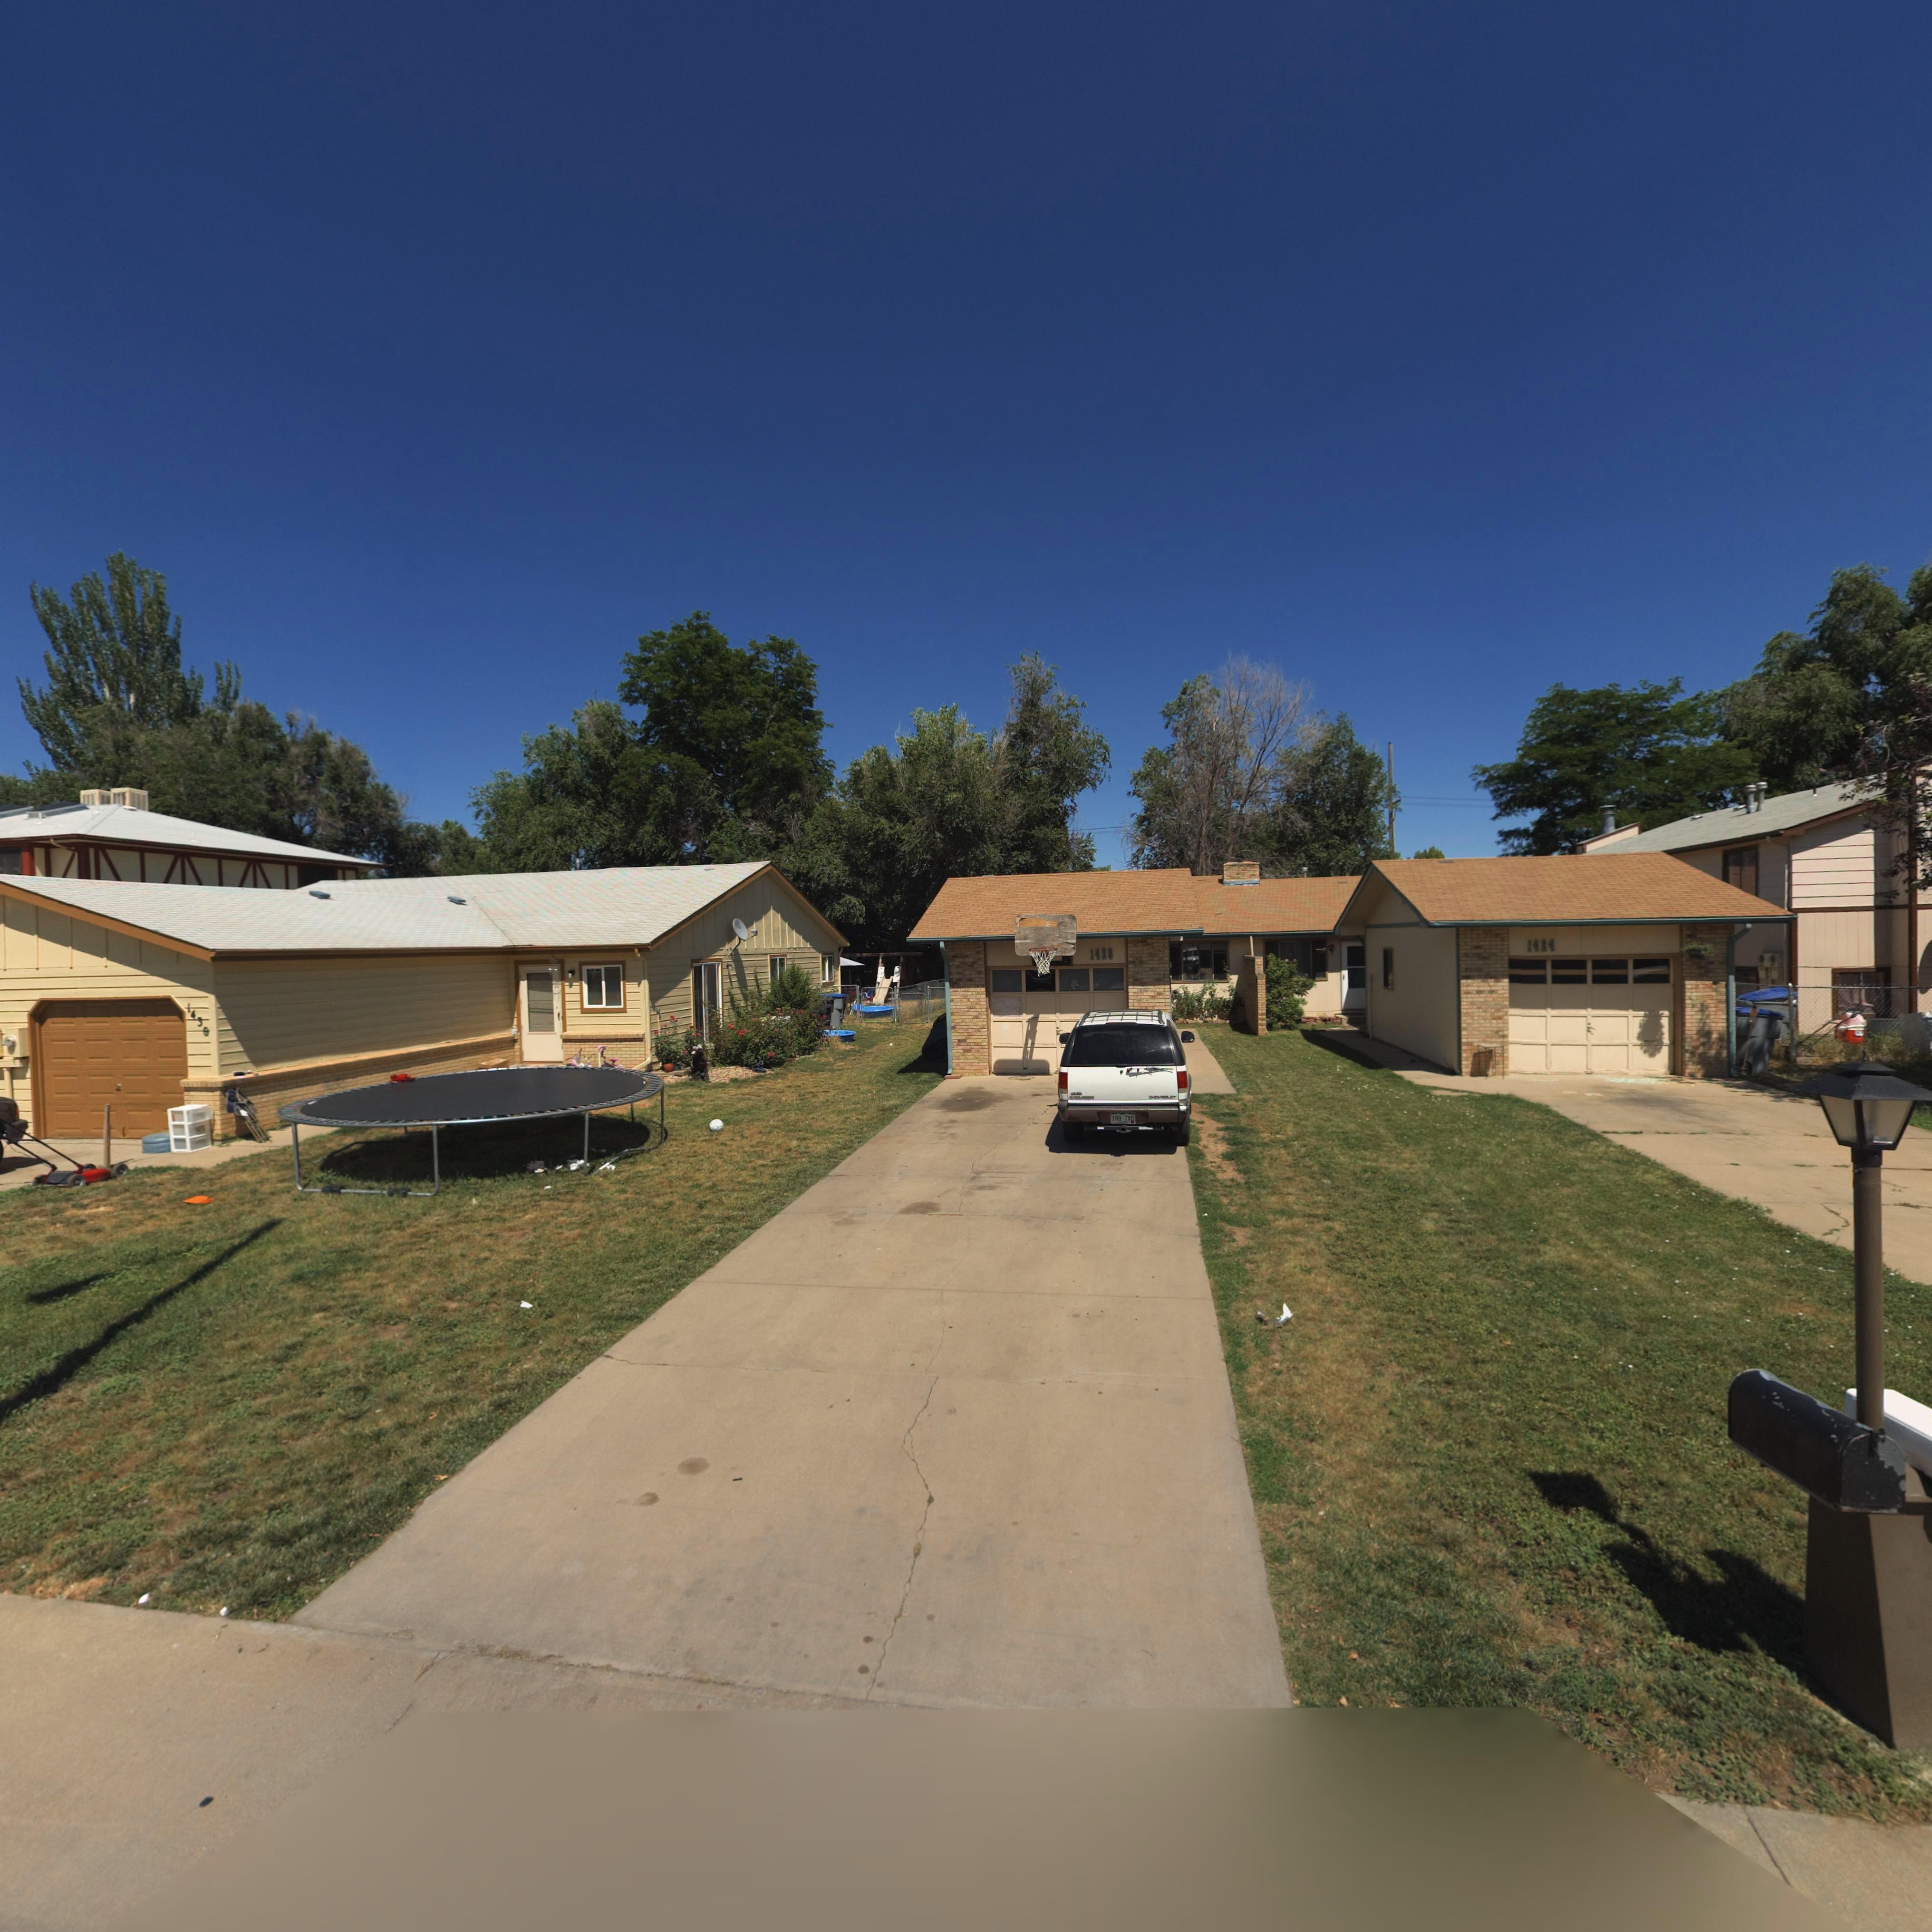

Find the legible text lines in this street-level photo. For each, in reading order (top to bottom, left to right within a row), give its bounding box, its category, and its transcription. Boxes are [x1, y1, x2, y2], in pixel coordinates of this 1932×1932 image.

[1527, 938, 1555, 952] StreetNumber: 1424
[1090, 947, 1113, 960] StreetNumber: 1420
[187, 1002, 209, 1037] StreetNumber: 1430